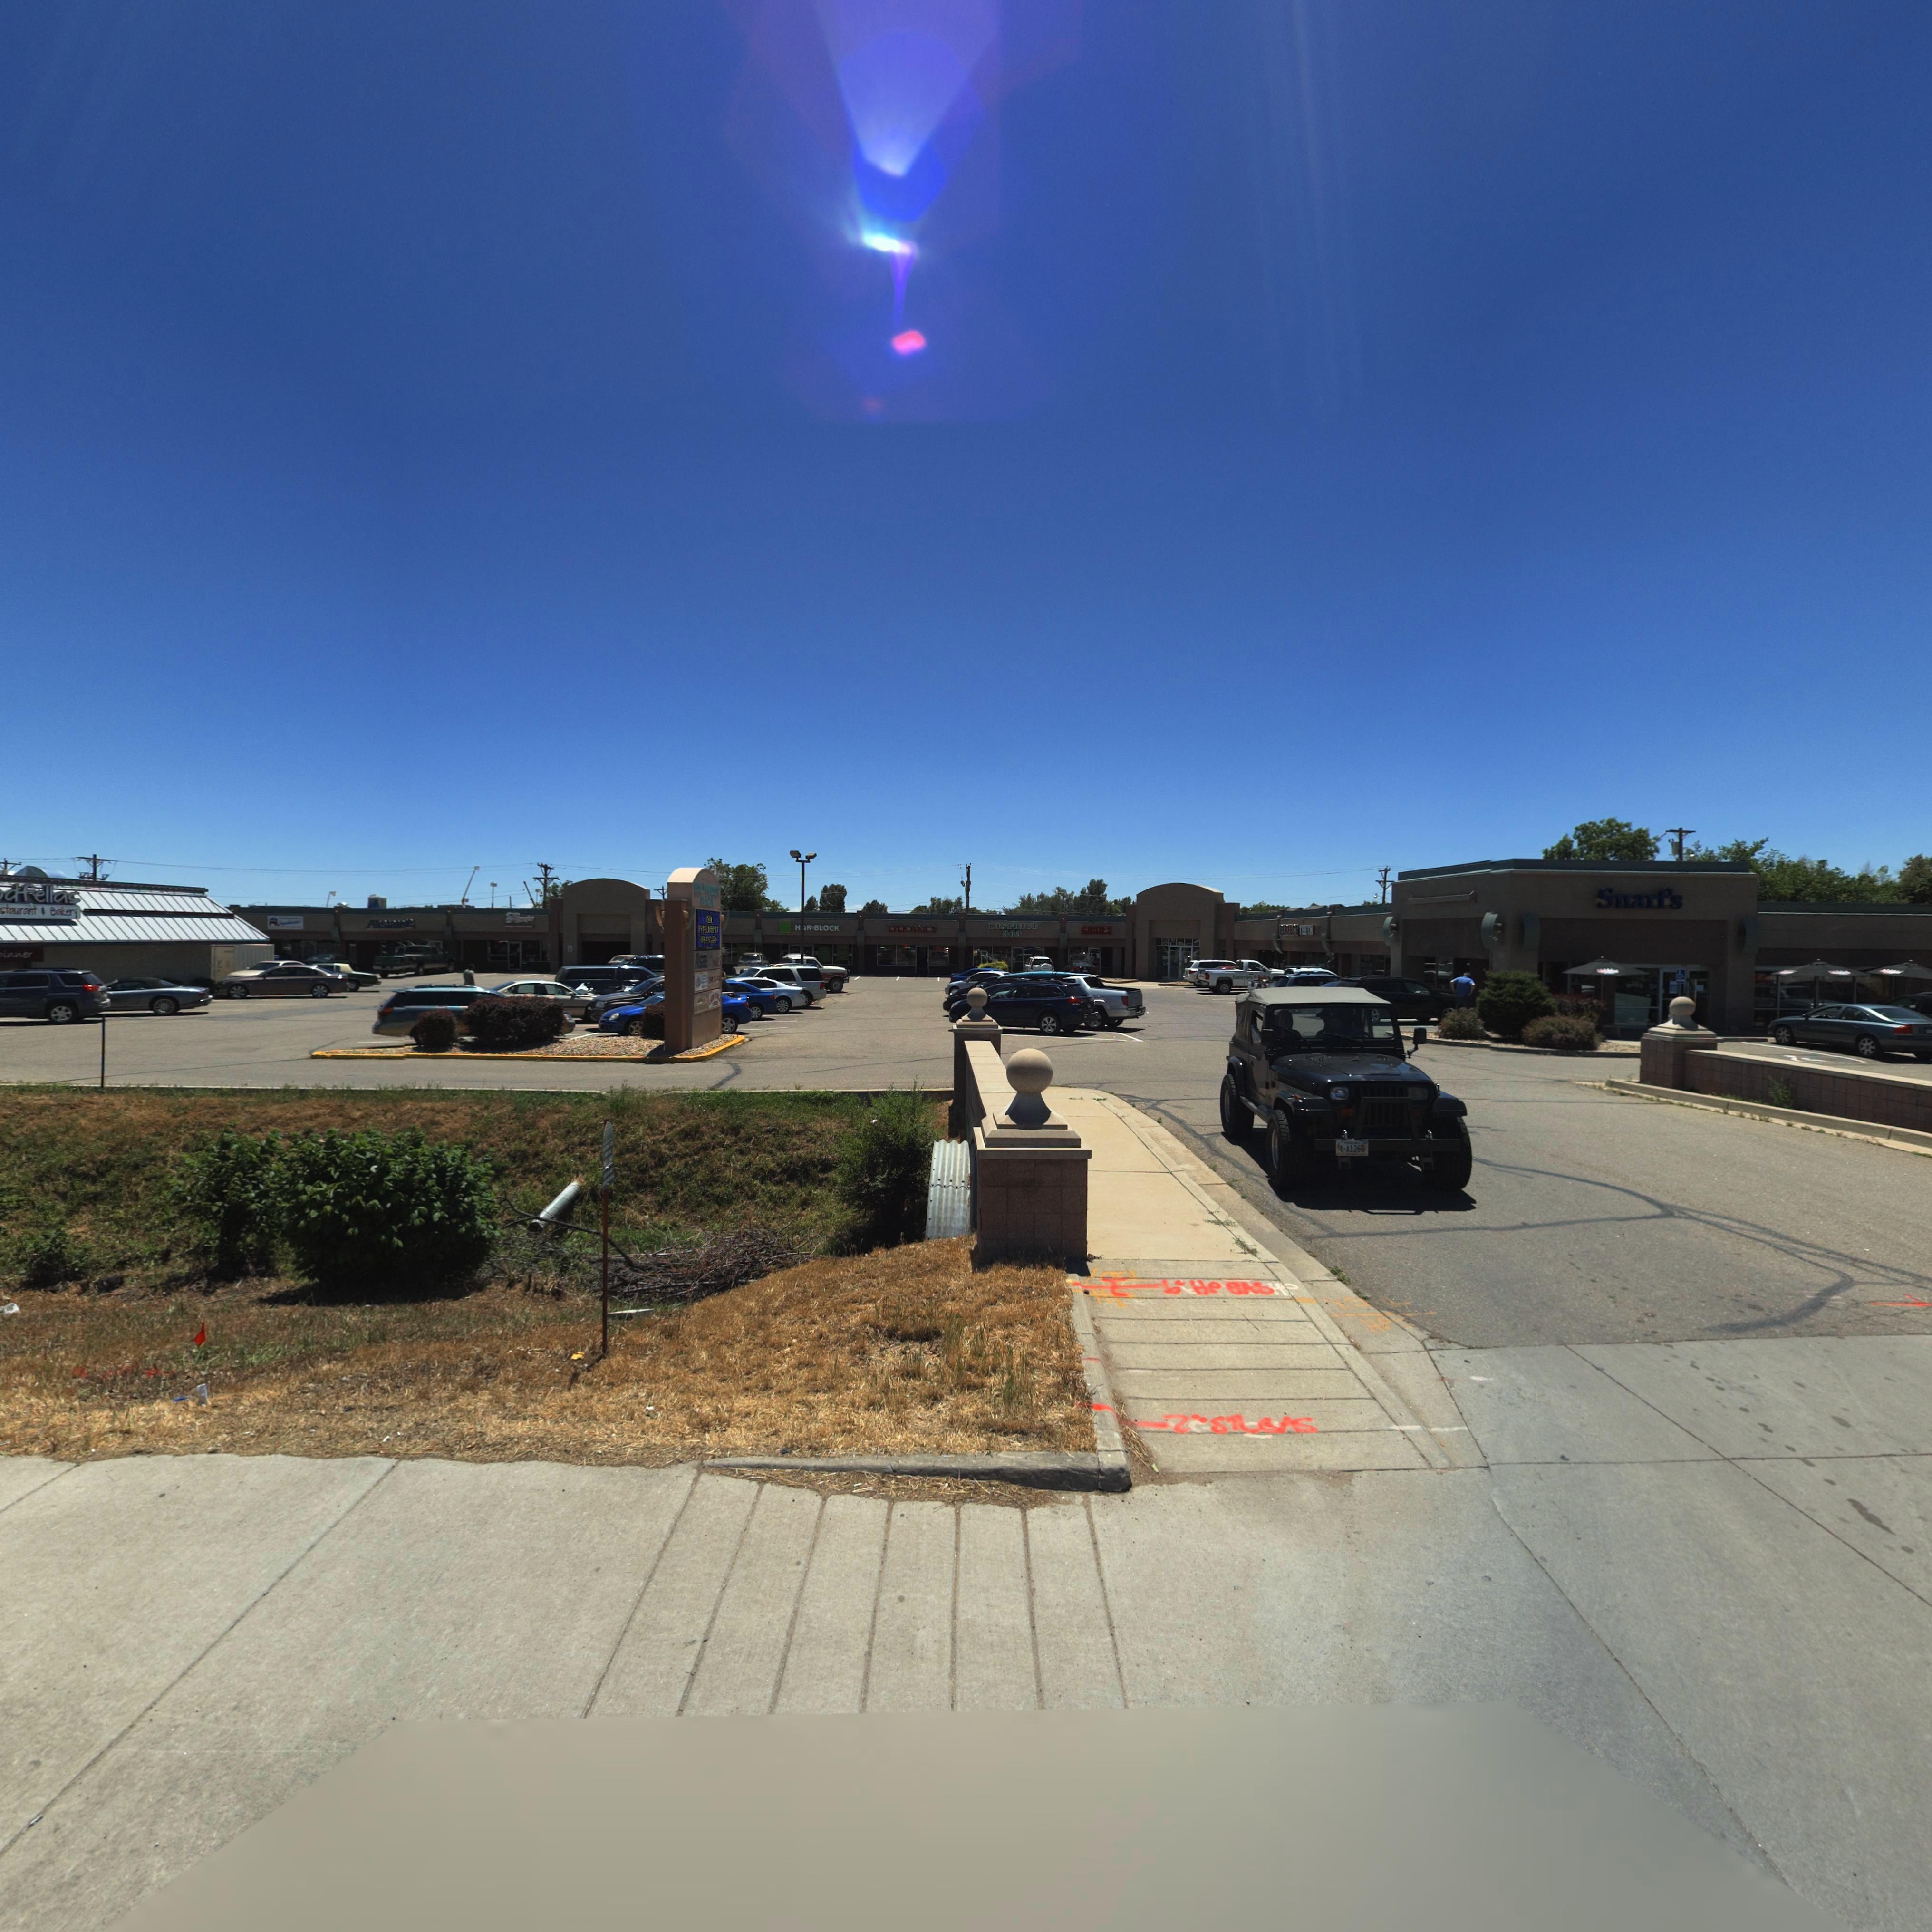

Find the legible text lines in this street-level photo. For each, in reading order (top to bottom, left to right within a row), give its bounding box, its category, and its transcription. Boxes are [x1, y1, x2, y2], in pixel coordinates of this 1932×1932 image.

[3, 881, 81, 905] BusinessName: dfellas
[1595, 885, 1685, 910] BusinessName: Snarf's
[366, 918, 413, 929] BusinessName: Allstatete
[794, 924, 840, 931] BusinessName: H*R BLOCK
[887, 924, 937, 933] BusinessName: LYLE NAILS
[1002, 930, 1022, 937] BusinessName: 303
[988, 922, 1038, 929] BusinessName: DISTRI*I
[1080, 925, 1112, 935] BusinessName: GAMES
[1279, 923, 1314, 936] BusinessName: PERFECT TEETH
[695, 952, 708, 970] BusinessName: A**s*a*e
[711, 956, 722, 968] BusinessName: N**LS